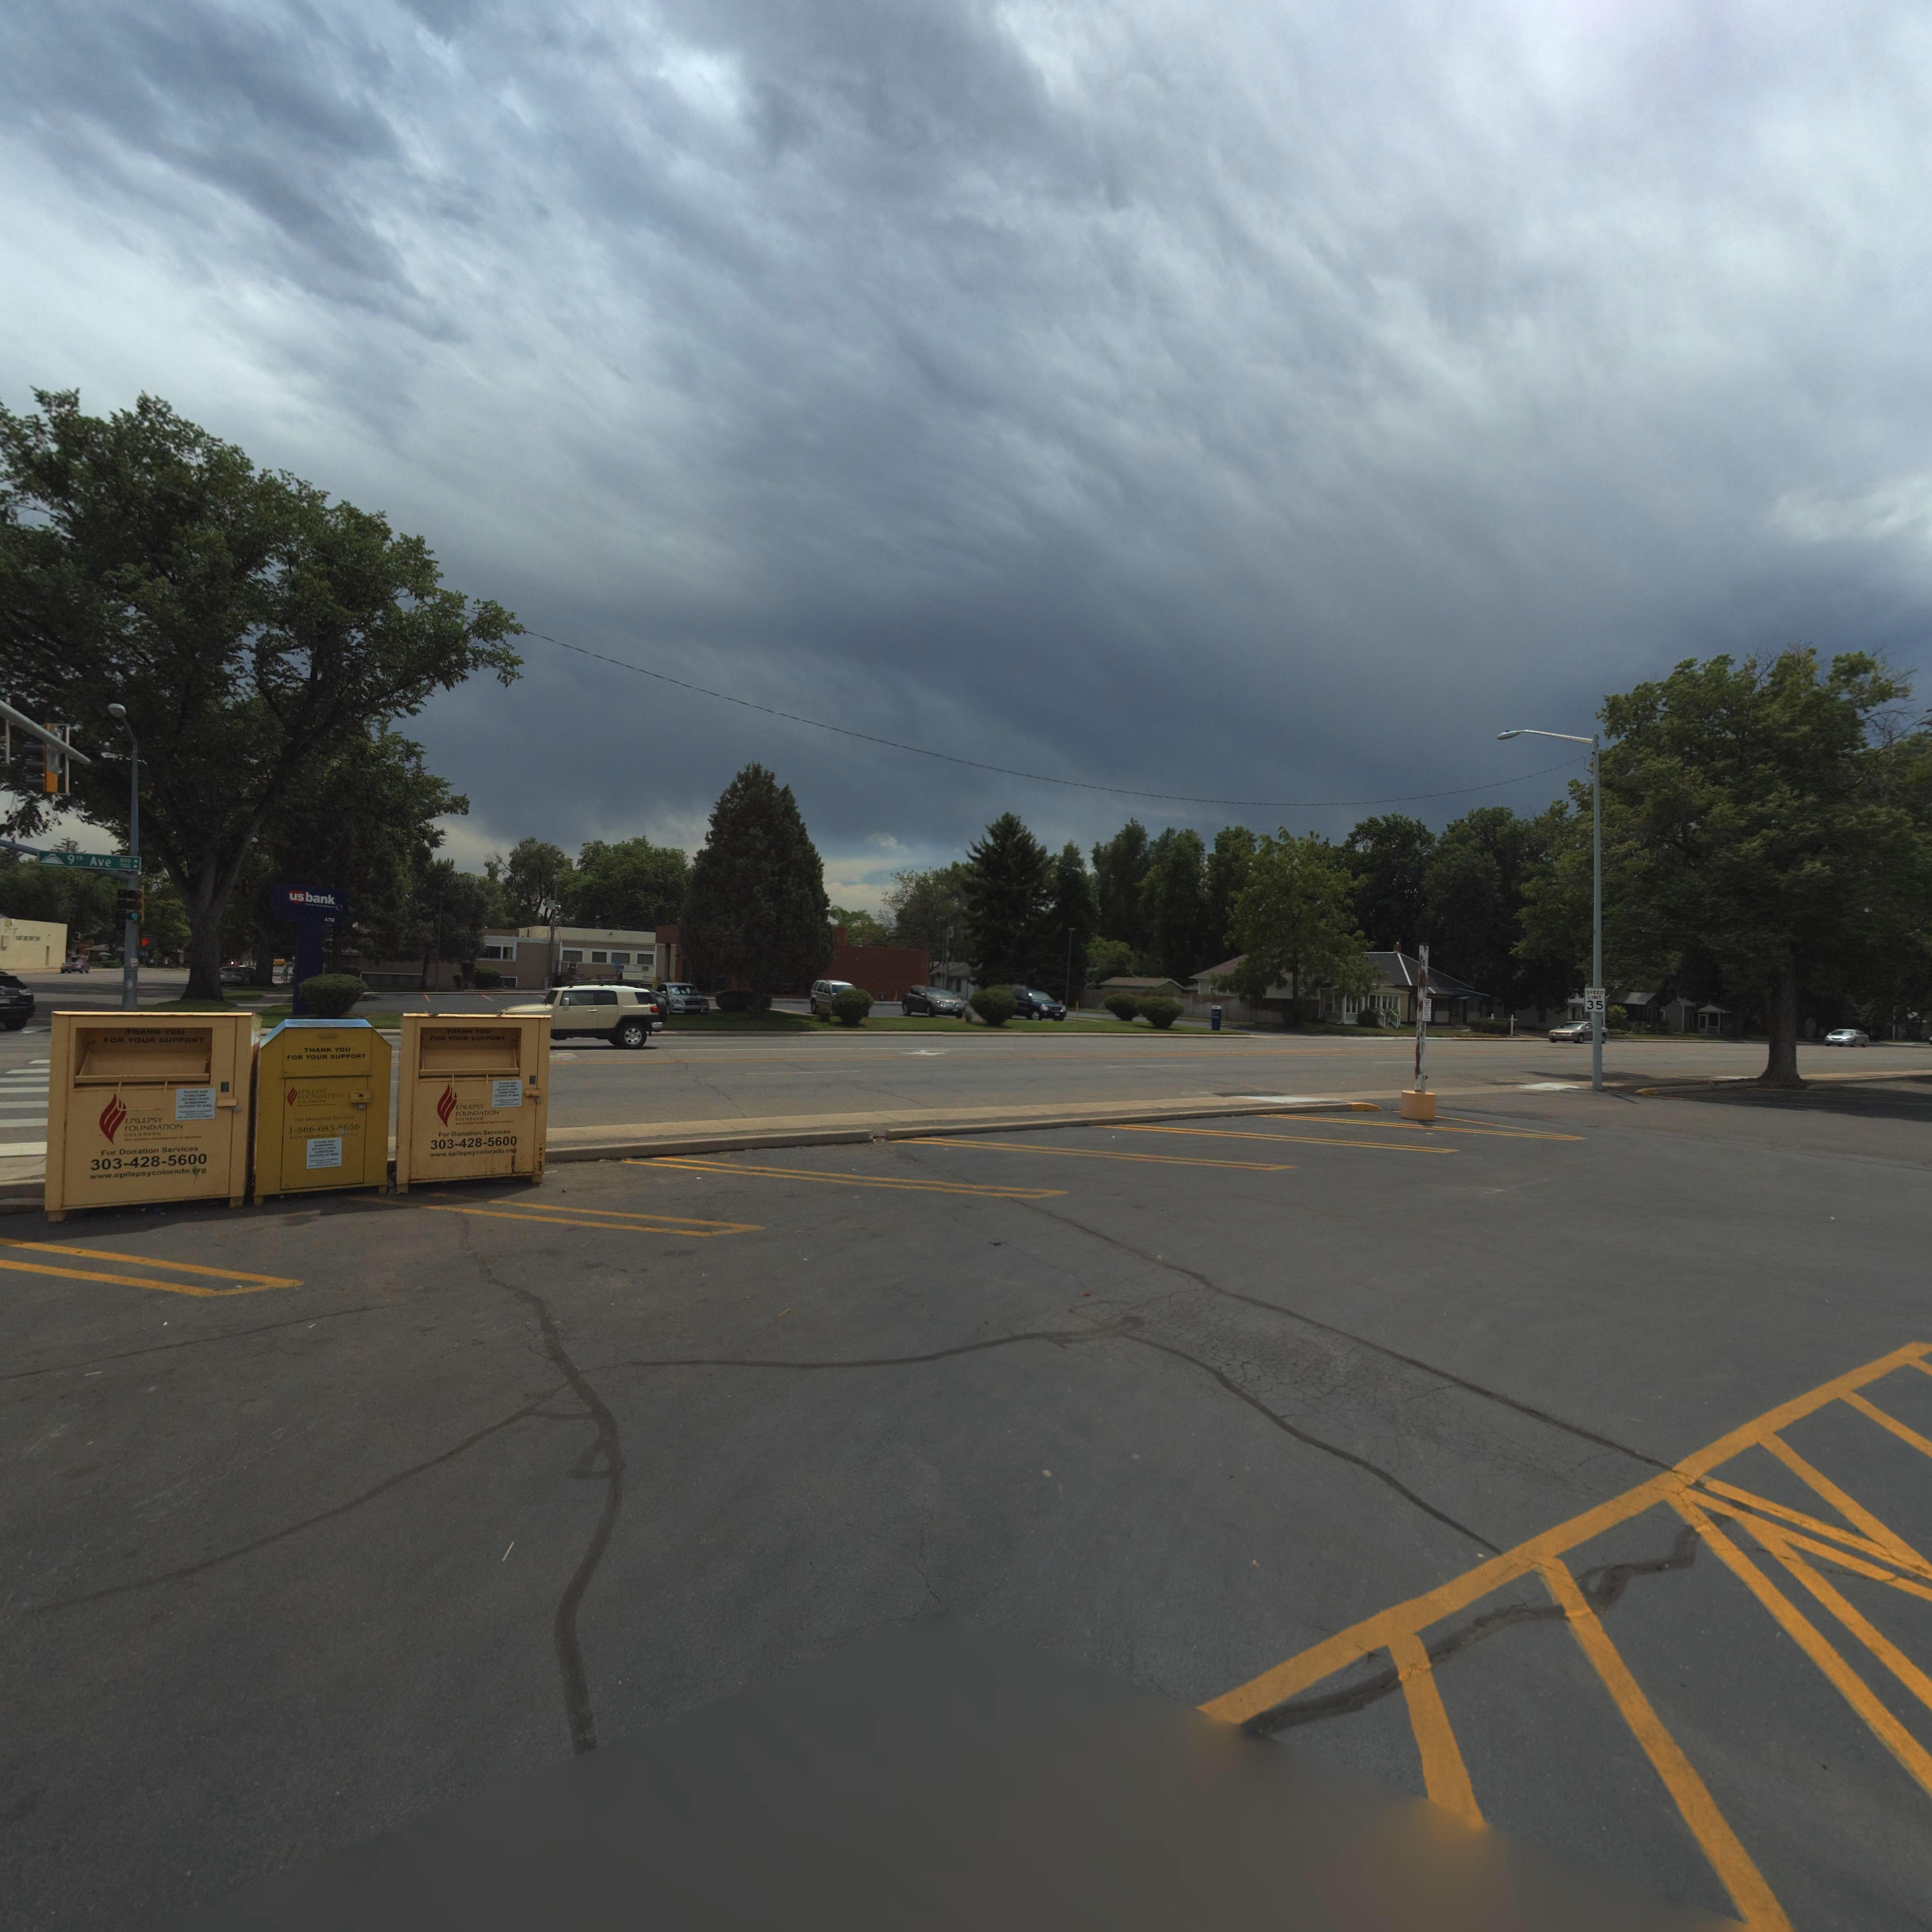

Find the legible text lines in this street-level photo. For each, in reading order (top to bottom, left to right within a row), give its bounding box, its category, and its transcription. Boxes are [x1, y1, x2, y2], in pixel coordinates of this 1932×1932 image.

[67, 854, 112, 868] StreetName: 9th Ave
[119, 858, 131, 863] StreetNumberRange: *00
[118, 863, 138, 869] StreetNumberRange: 700->
[289, 891, 336, 905] BusinessName: usbank